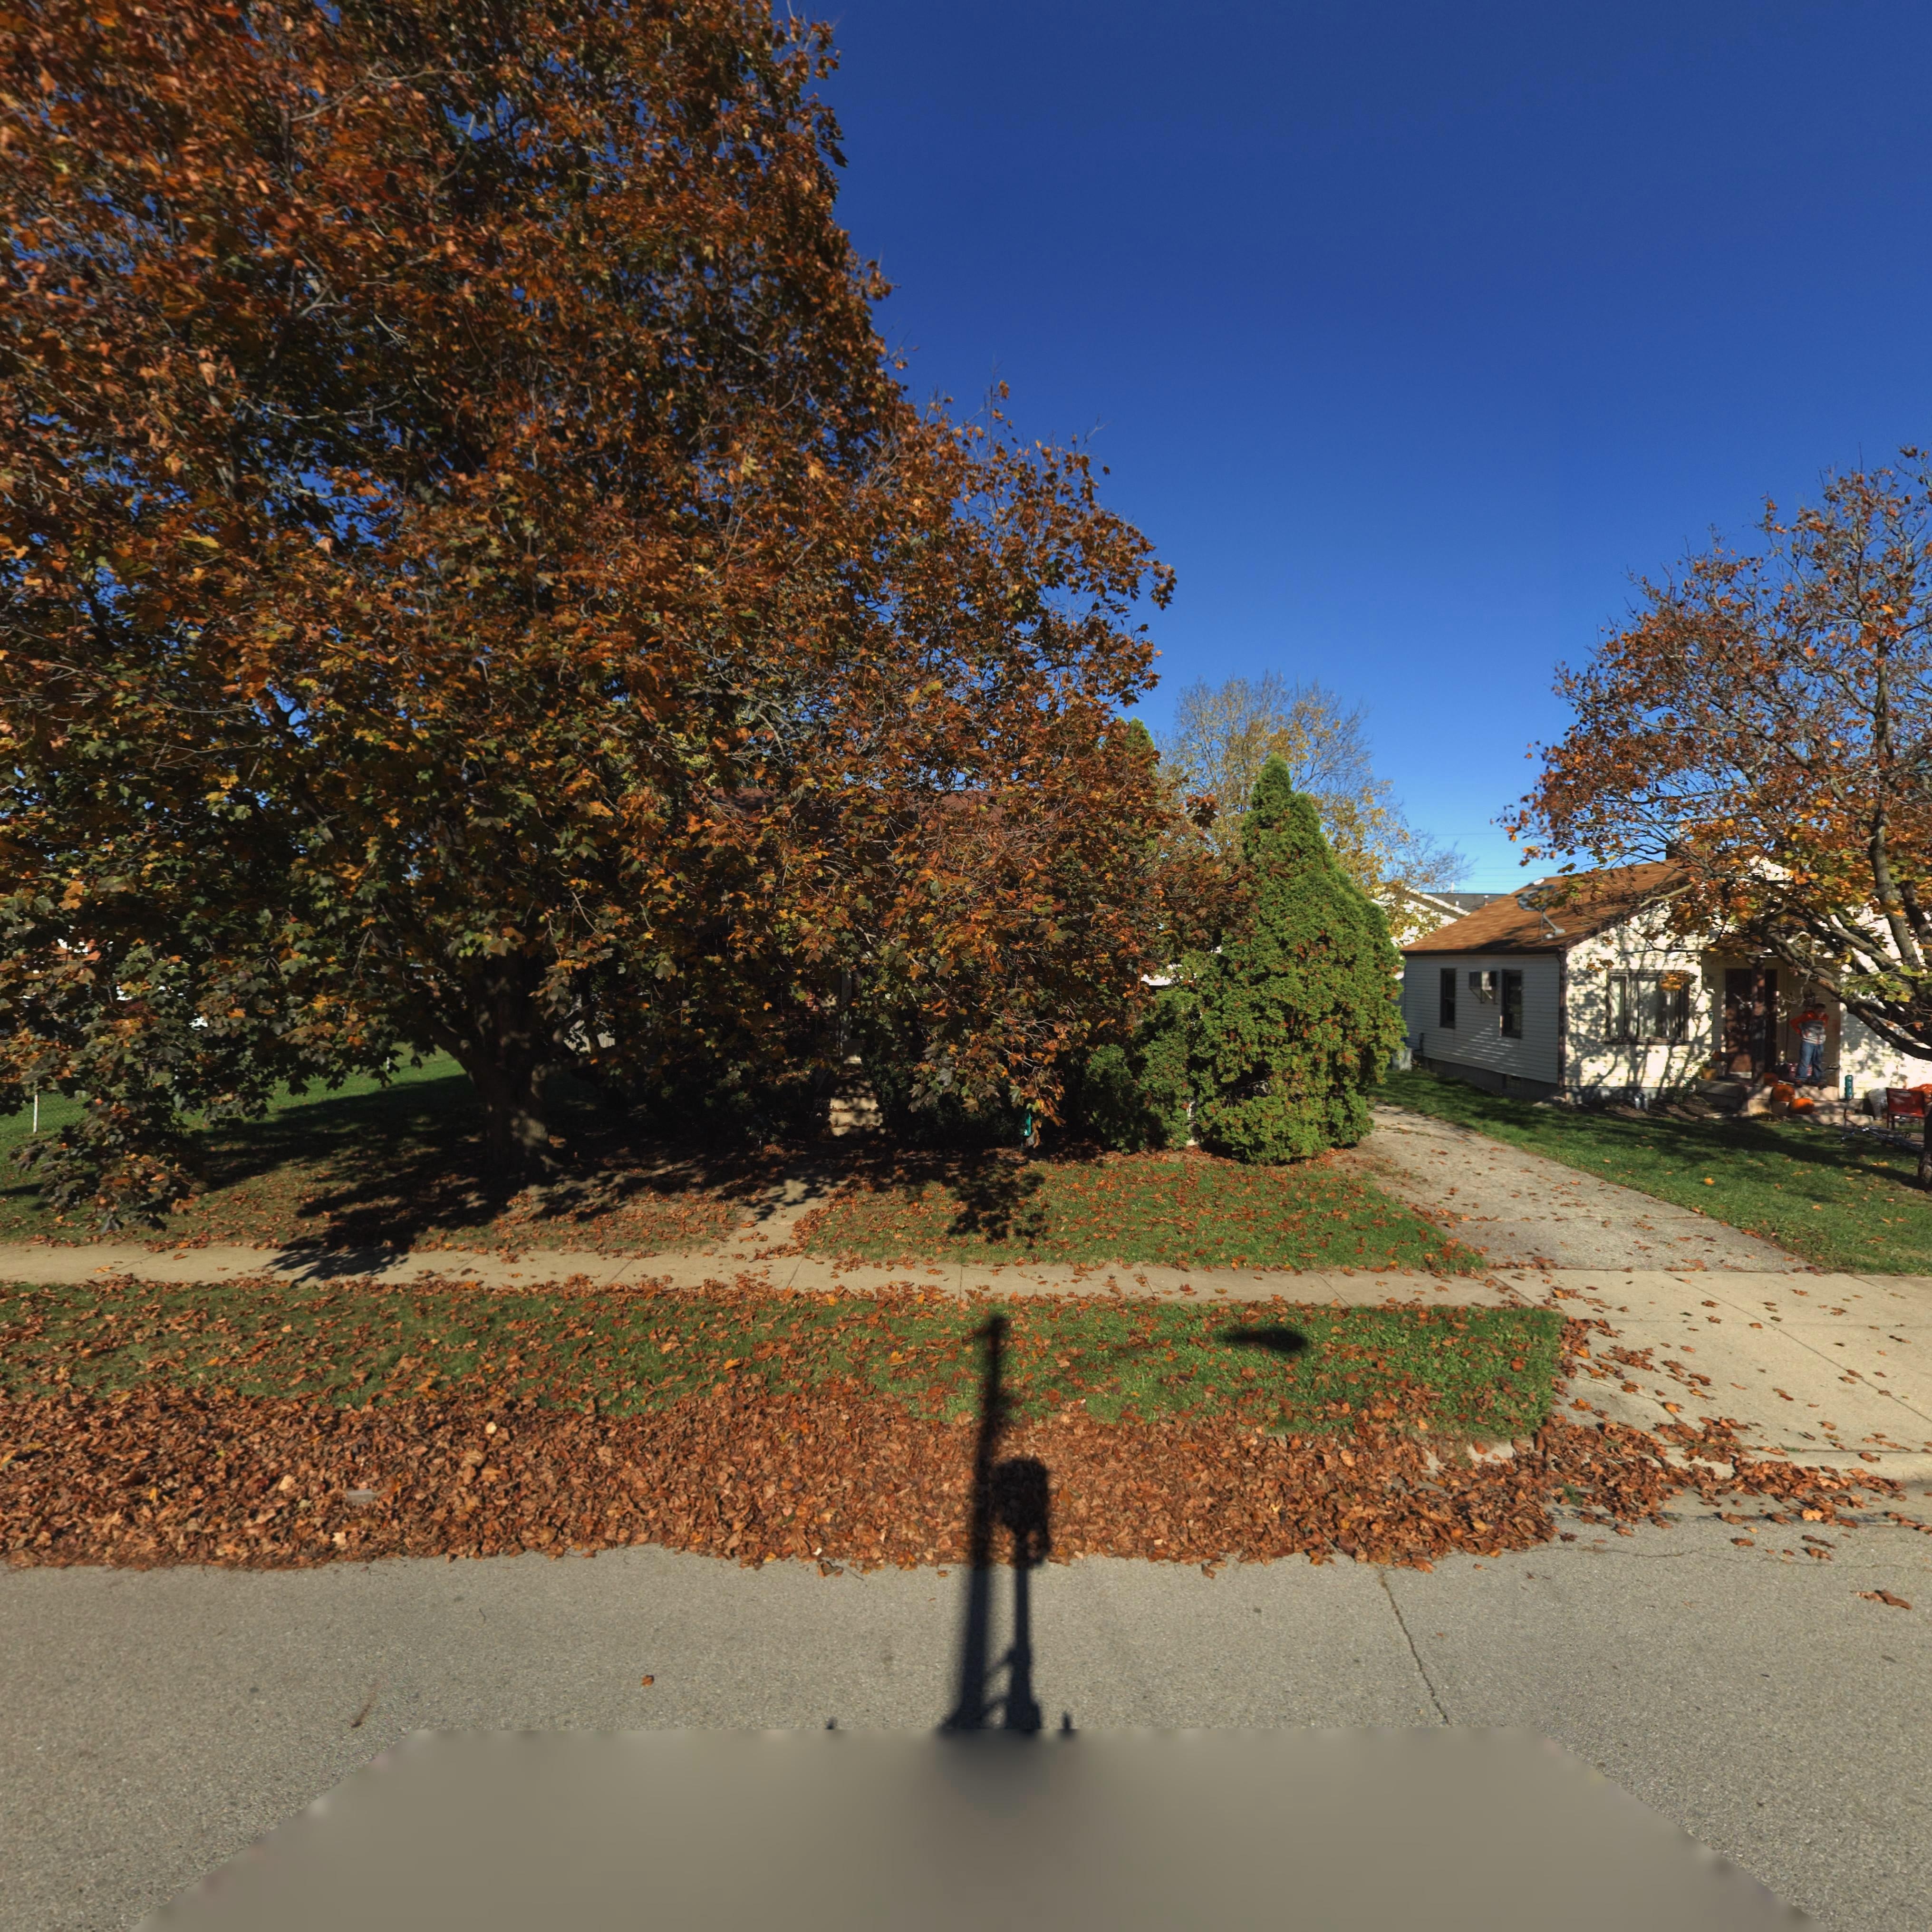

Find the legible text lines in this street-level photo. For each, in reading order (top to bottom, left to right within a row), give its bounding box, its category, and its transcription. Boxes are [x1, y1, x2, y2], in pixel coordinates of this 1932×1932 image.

[1847, 1074, 1854, 1100] StreetNumber: *71*